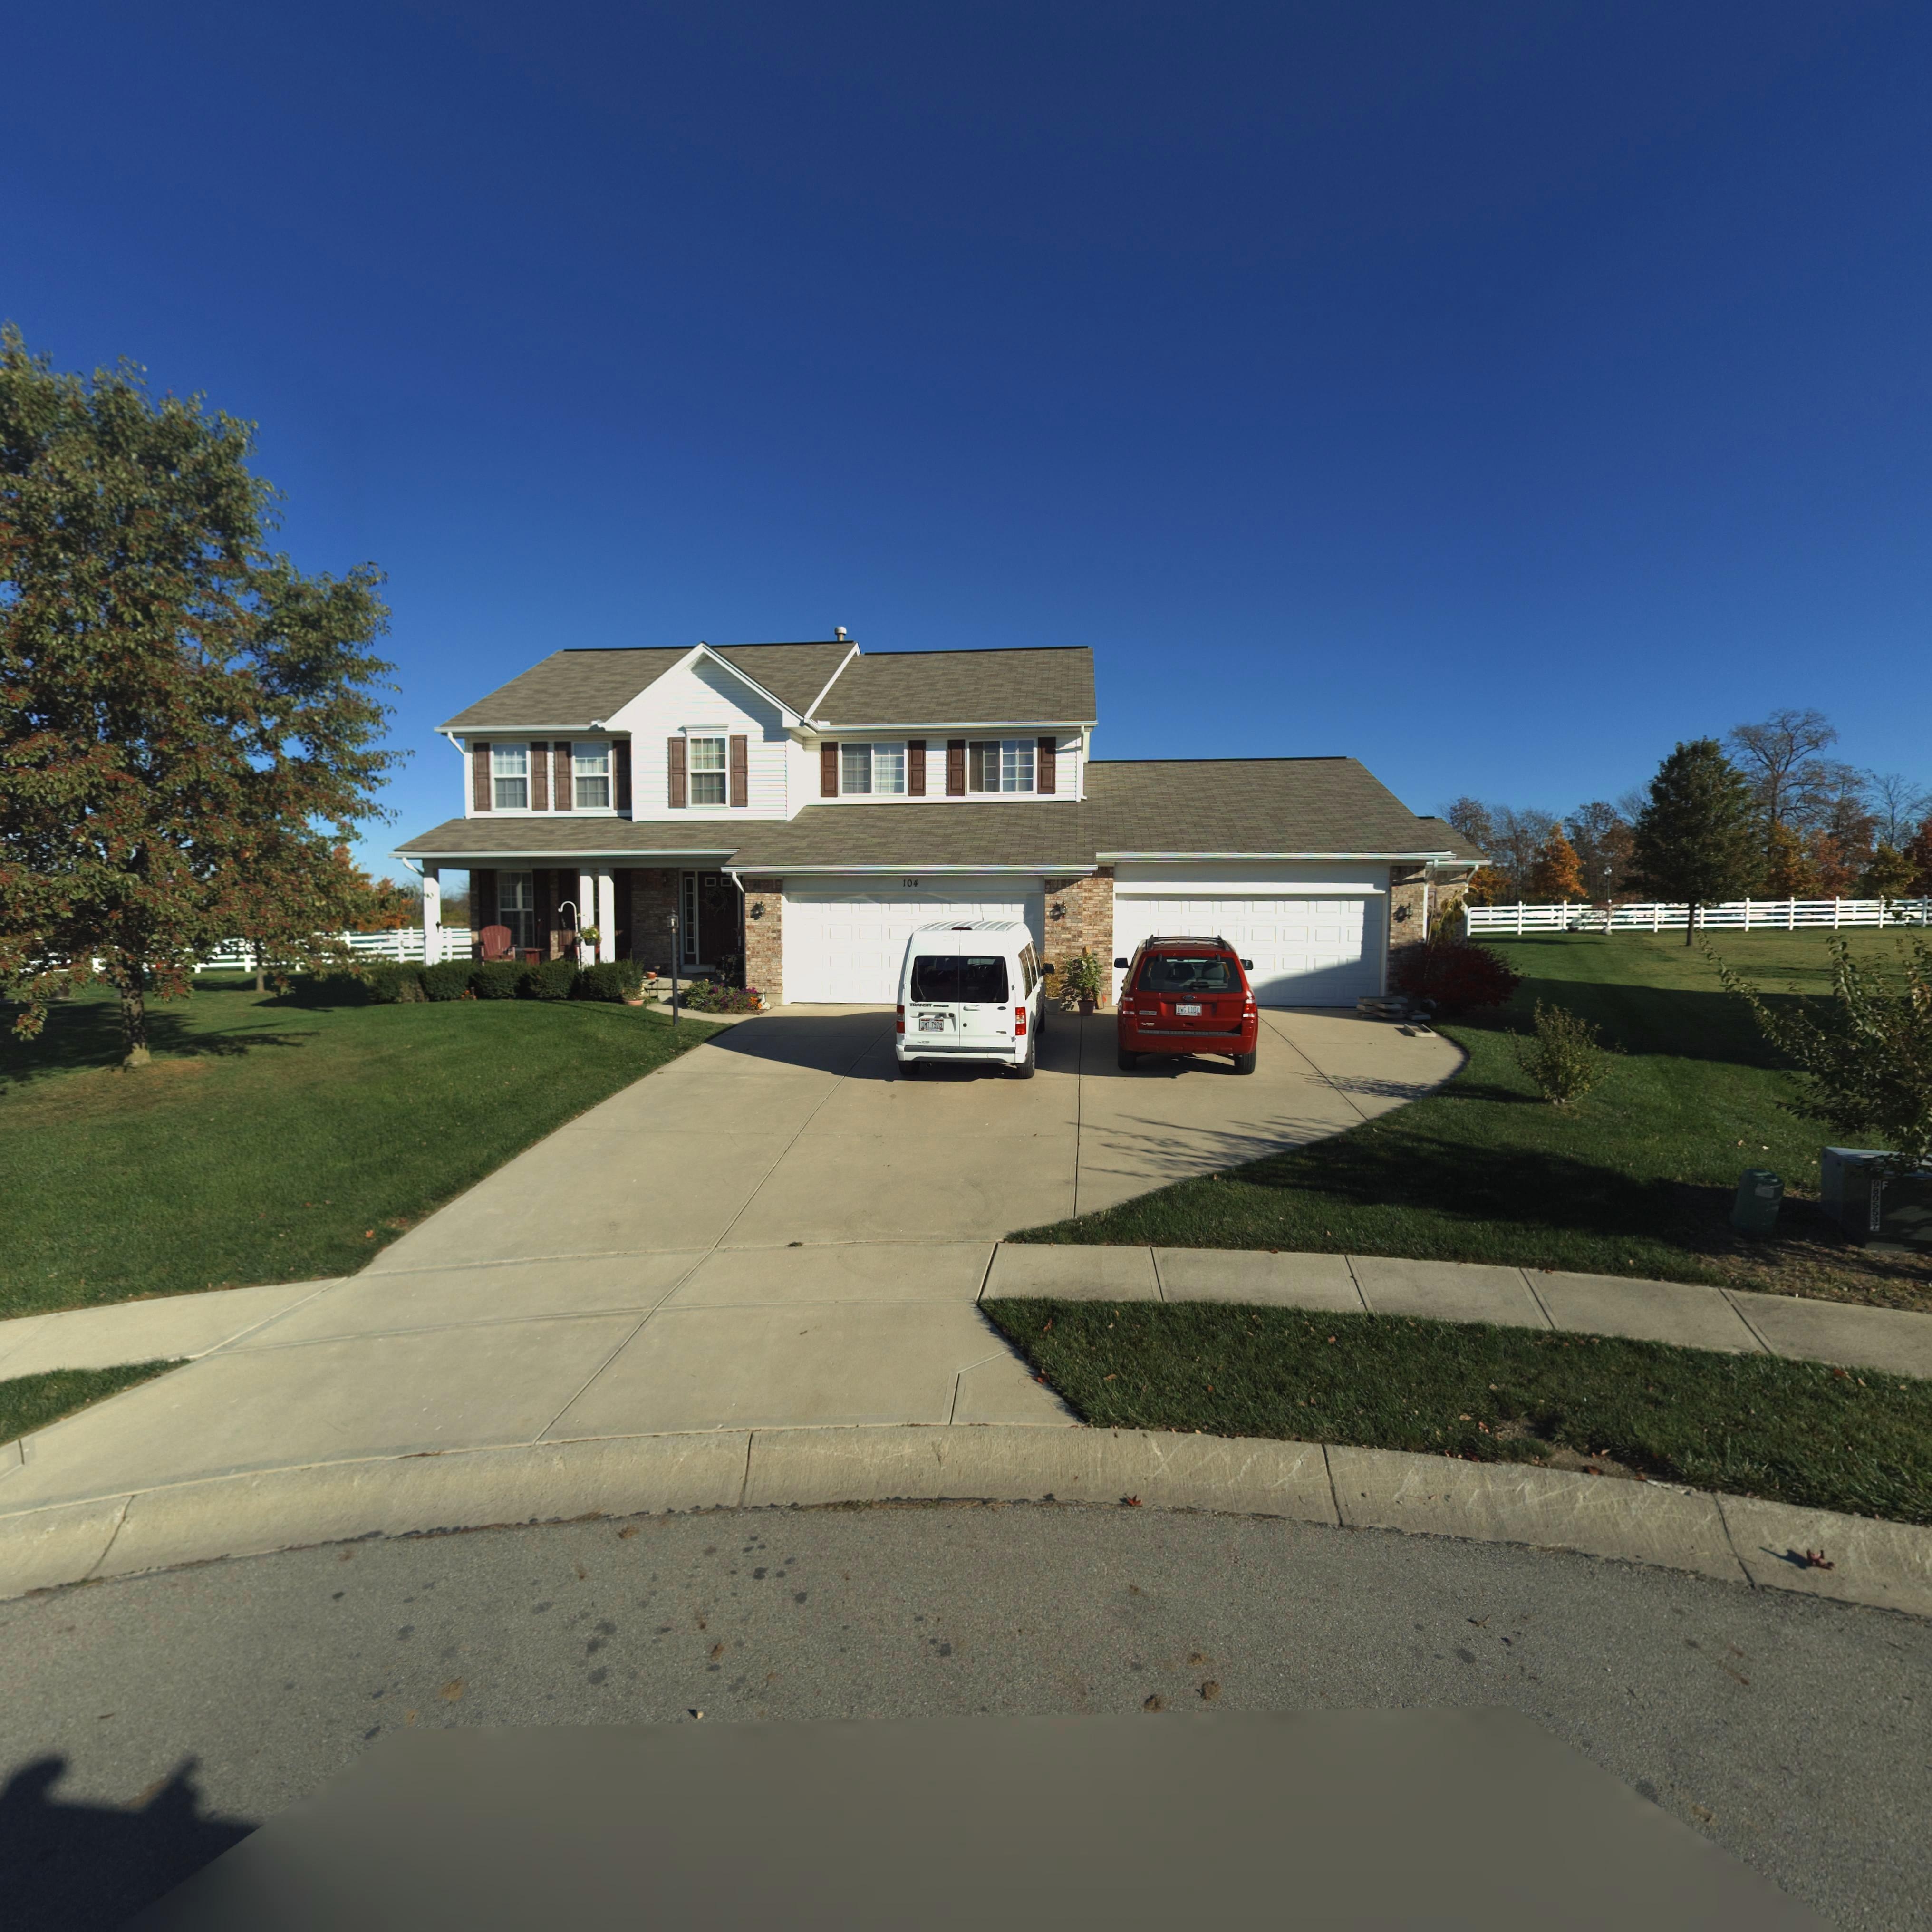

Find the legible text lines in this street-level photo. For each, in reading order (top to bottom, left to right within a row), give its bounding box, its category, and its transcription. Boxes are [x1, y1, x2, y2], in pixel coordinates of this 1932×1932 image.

[902, 878, 920, 888] StreetNumber: 104
[908, 1002, 931, 1007] None: TRAN***
[1177, 1005, 1199, 1013] None: *** 1104
[920, 1021, 942, 1030] None: D** 7978